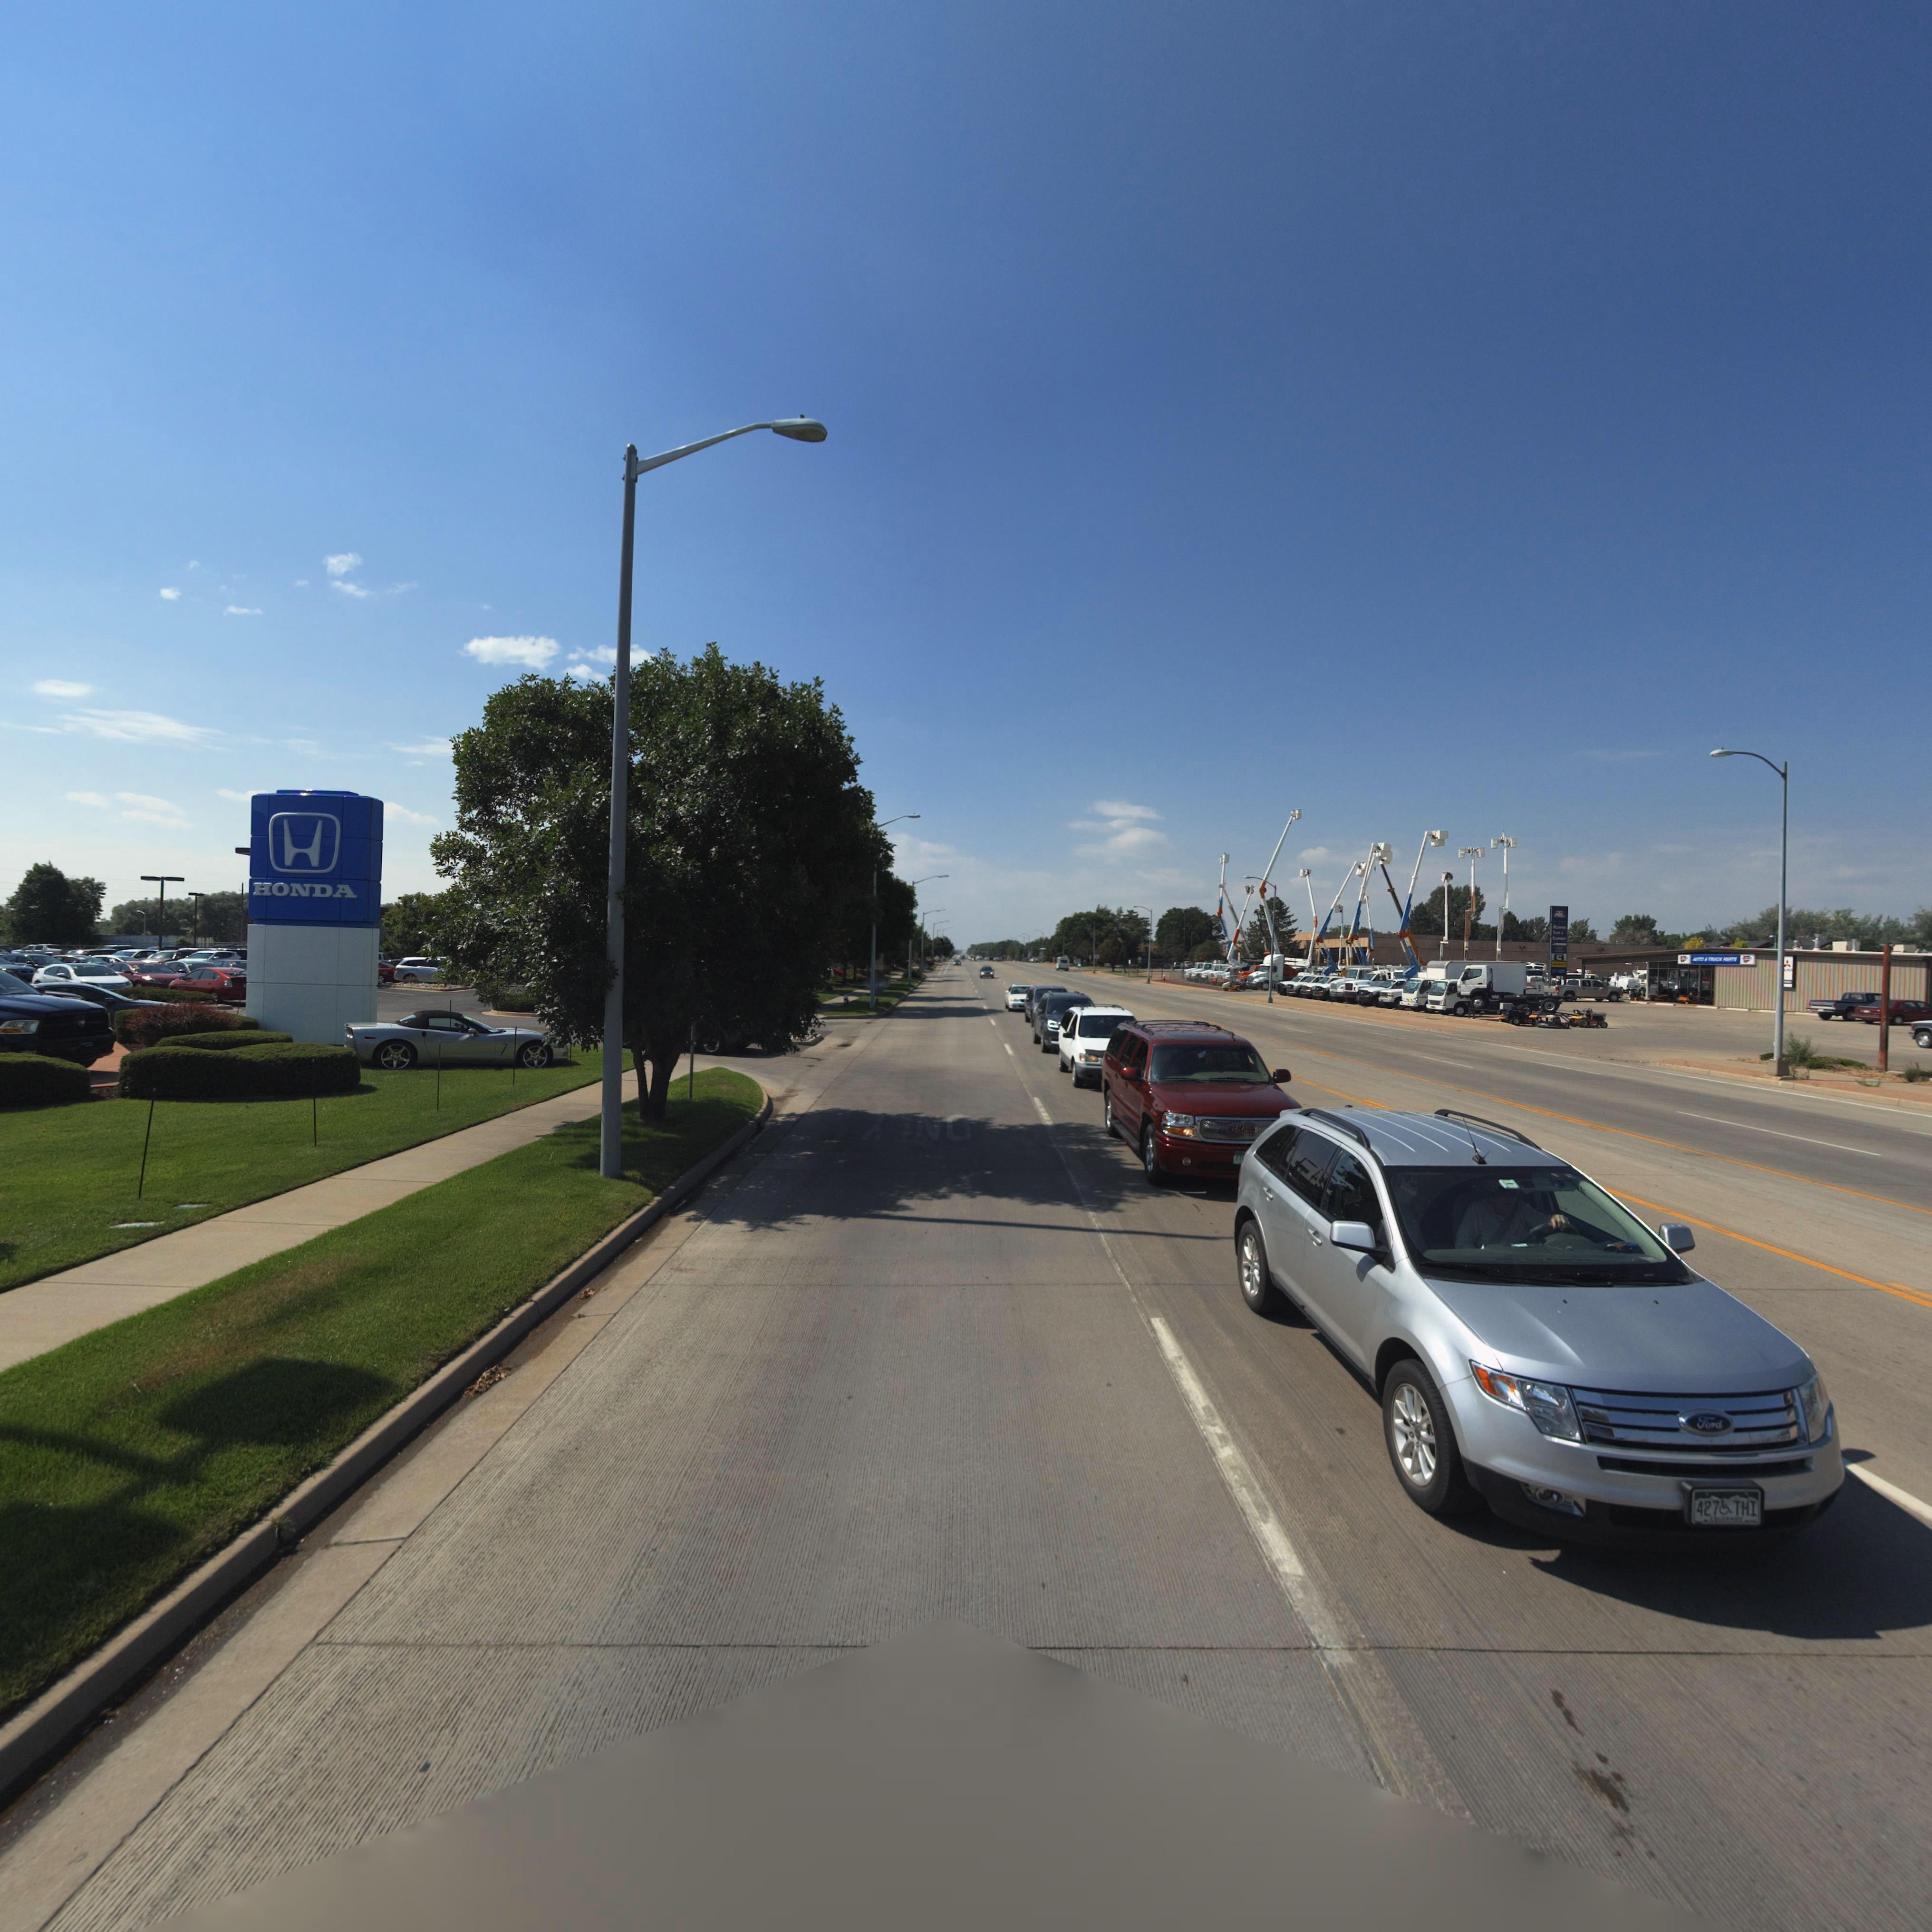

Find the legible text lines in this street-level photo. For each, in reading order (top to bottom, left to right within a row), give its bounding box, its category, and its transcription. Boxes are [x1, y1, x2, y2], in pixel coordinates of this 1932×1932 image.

[252, 881, 357, 898] BusinessName: HONDA
[1554, 910, 1565, 917] BusinessName: MTE
[1552, 924, 1566, 929] BusinessName: Mountain
[1552, 930, 1564, 935] BusinessName: Truck &
[1552, 935, 1566, 940] BusinessName: Equipment